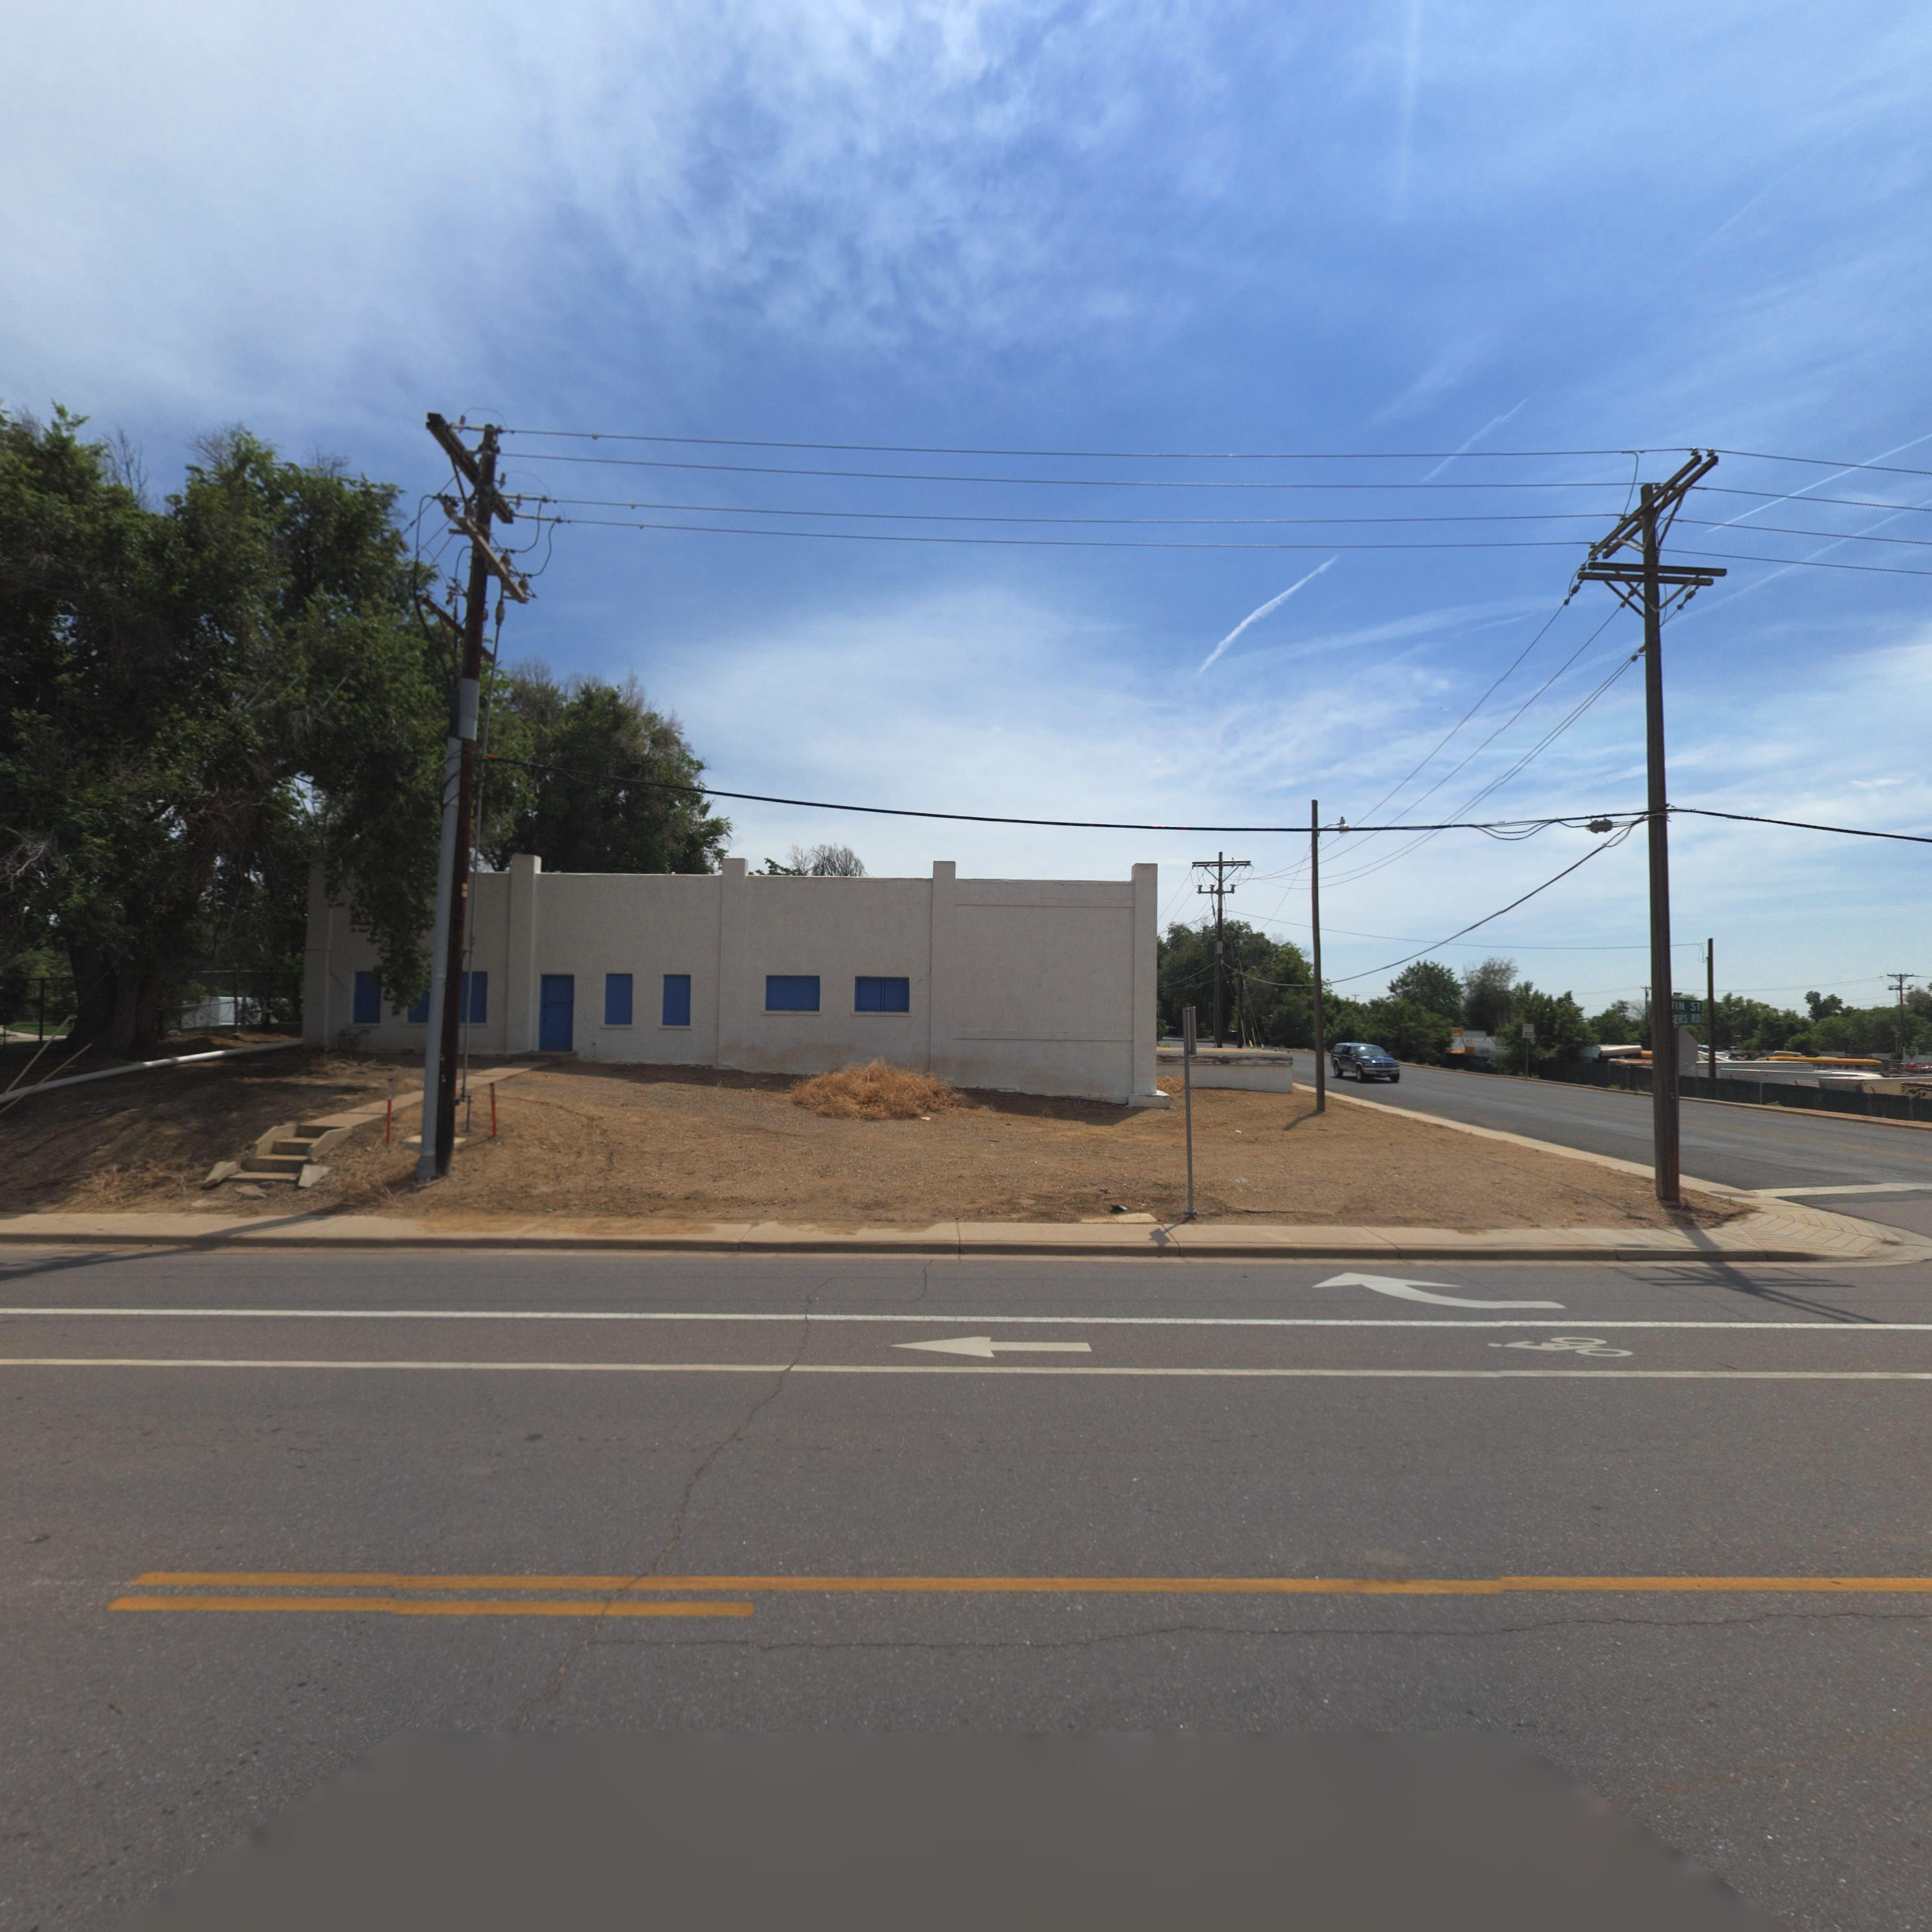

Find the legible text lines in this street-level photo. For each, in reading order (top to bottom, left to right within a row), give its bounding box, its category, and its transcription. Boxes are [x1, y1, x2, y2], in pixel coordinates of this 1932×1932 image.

[1671, 1001, 1701, 1011] StreetName: *IN ST
[1672, 1013, 1701, 1024] StreetName: *ERS RD